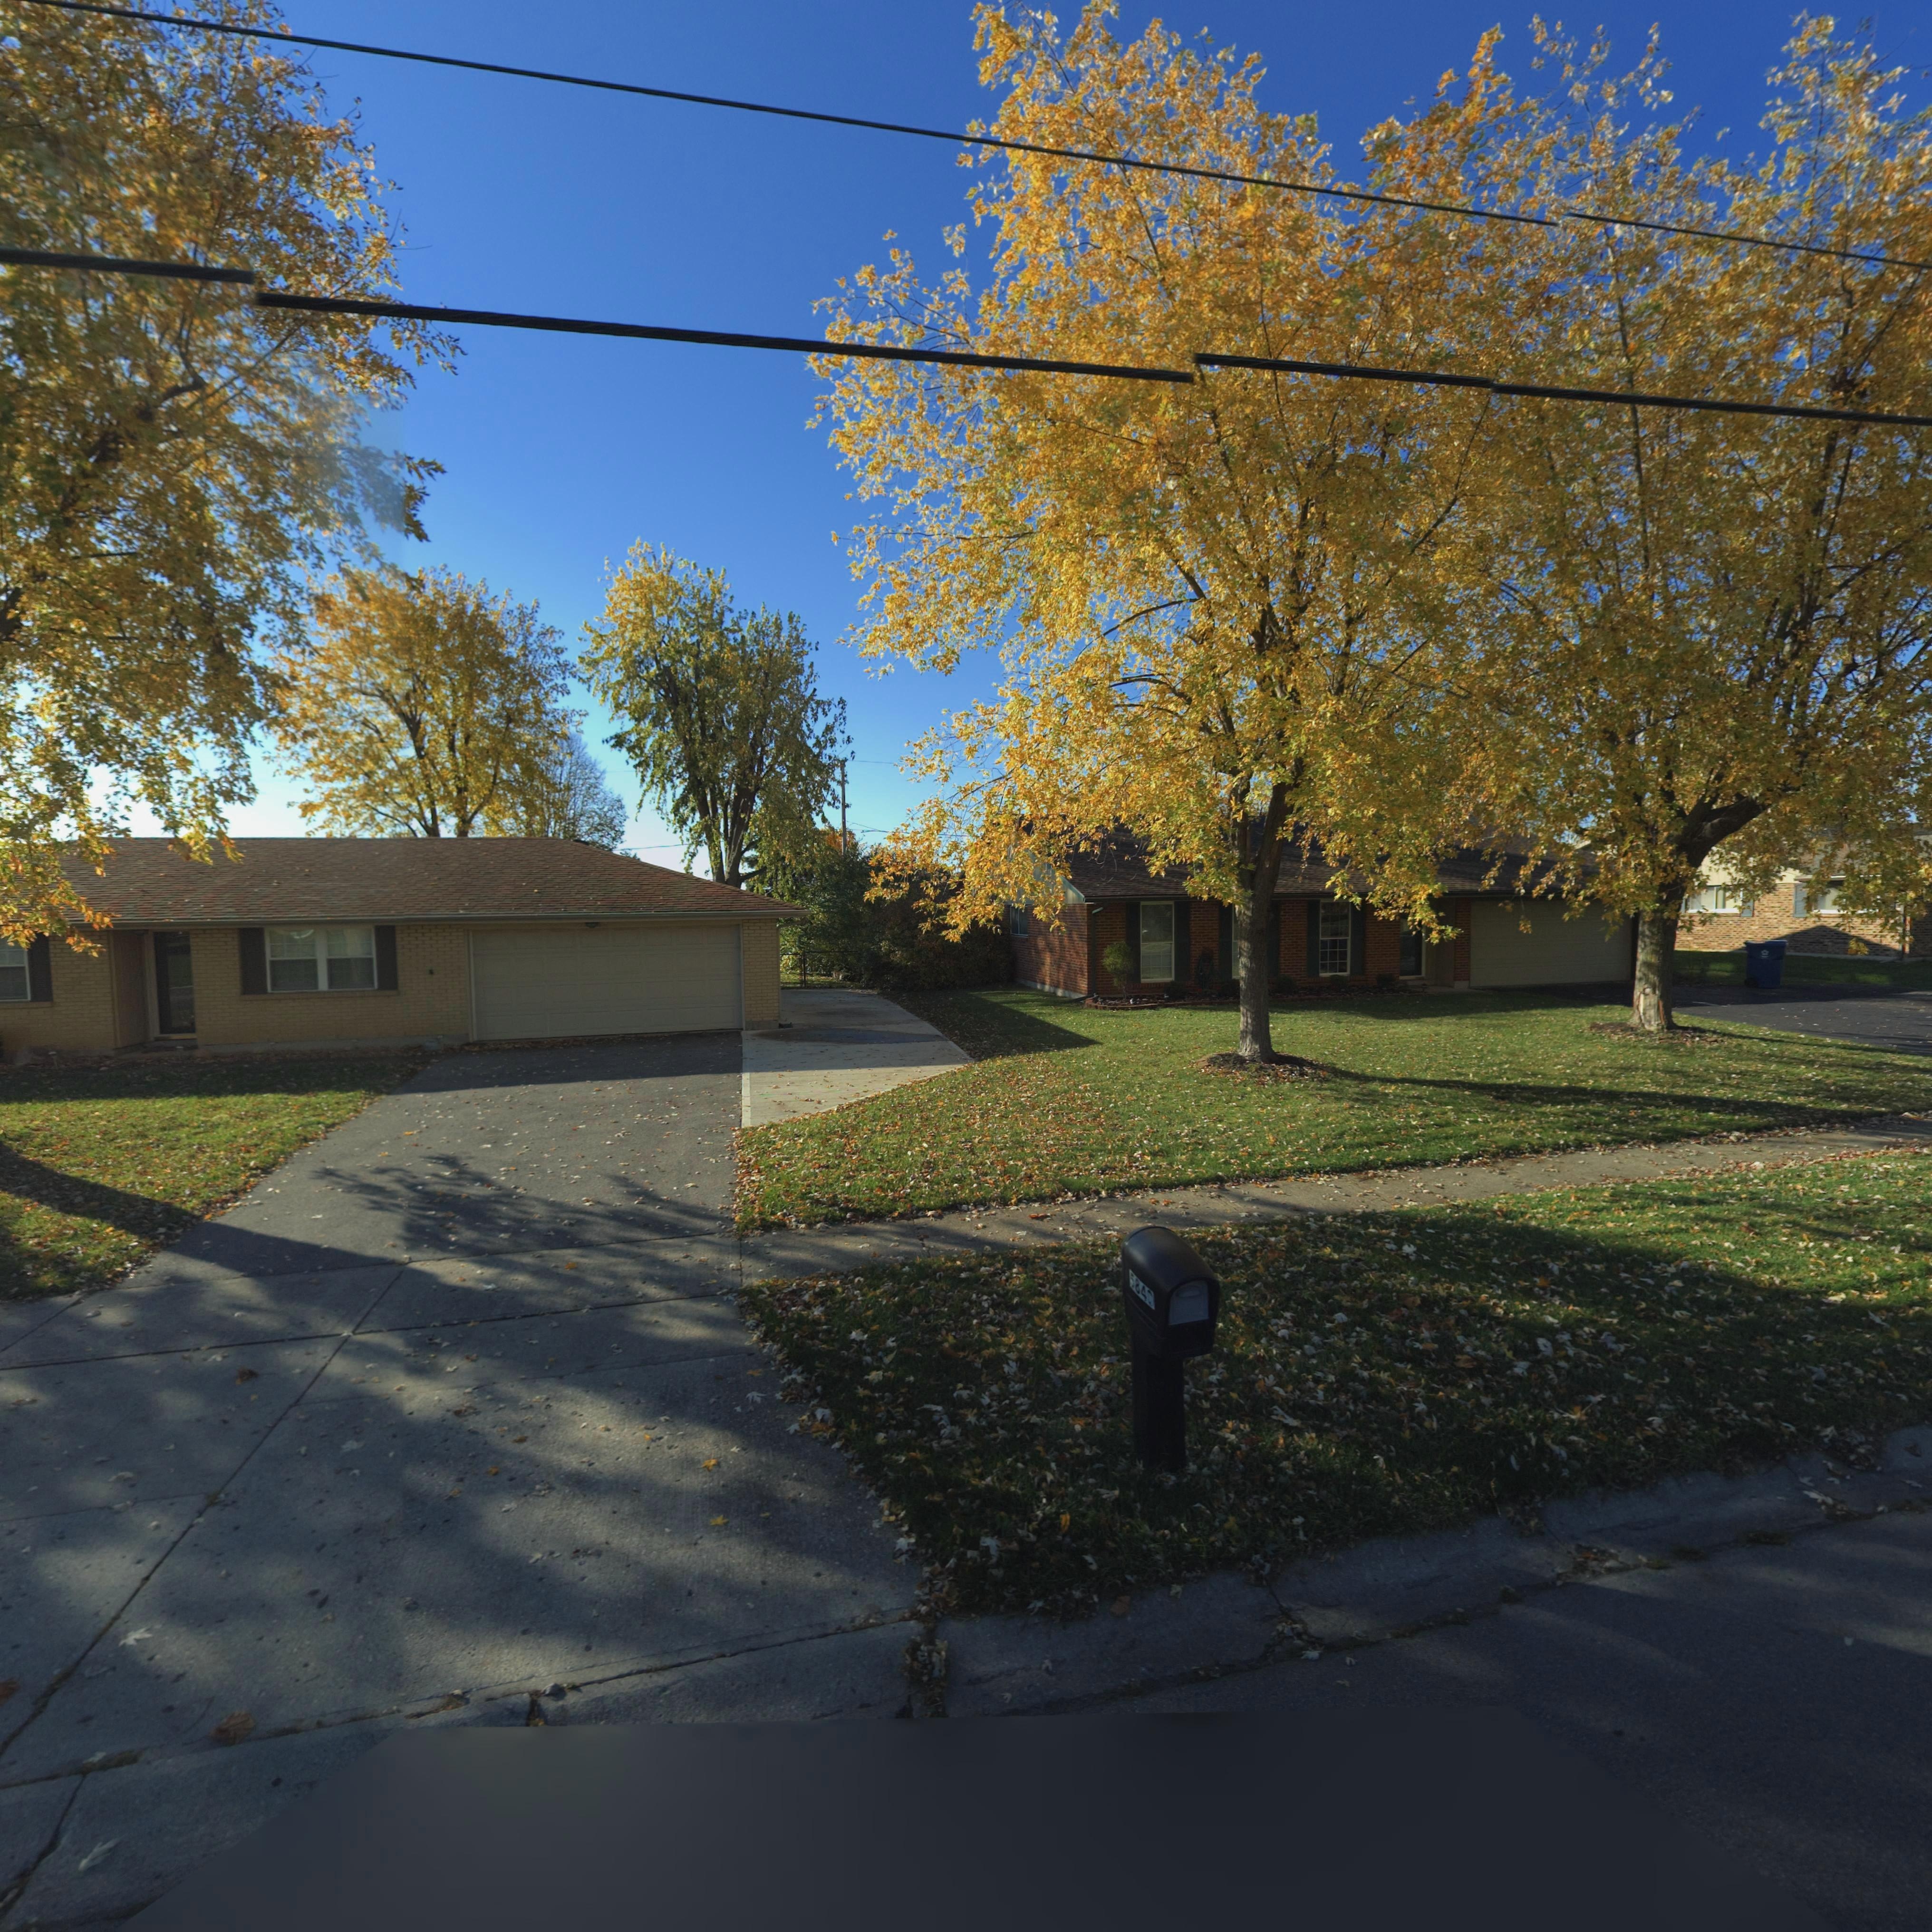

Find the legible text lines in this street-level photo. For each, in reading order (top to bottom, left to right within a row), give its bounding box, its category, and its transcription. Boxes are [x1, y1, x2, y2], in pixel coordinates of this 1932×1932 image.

[1129, 1270, 1156, 1310] StreetNumber: 584*